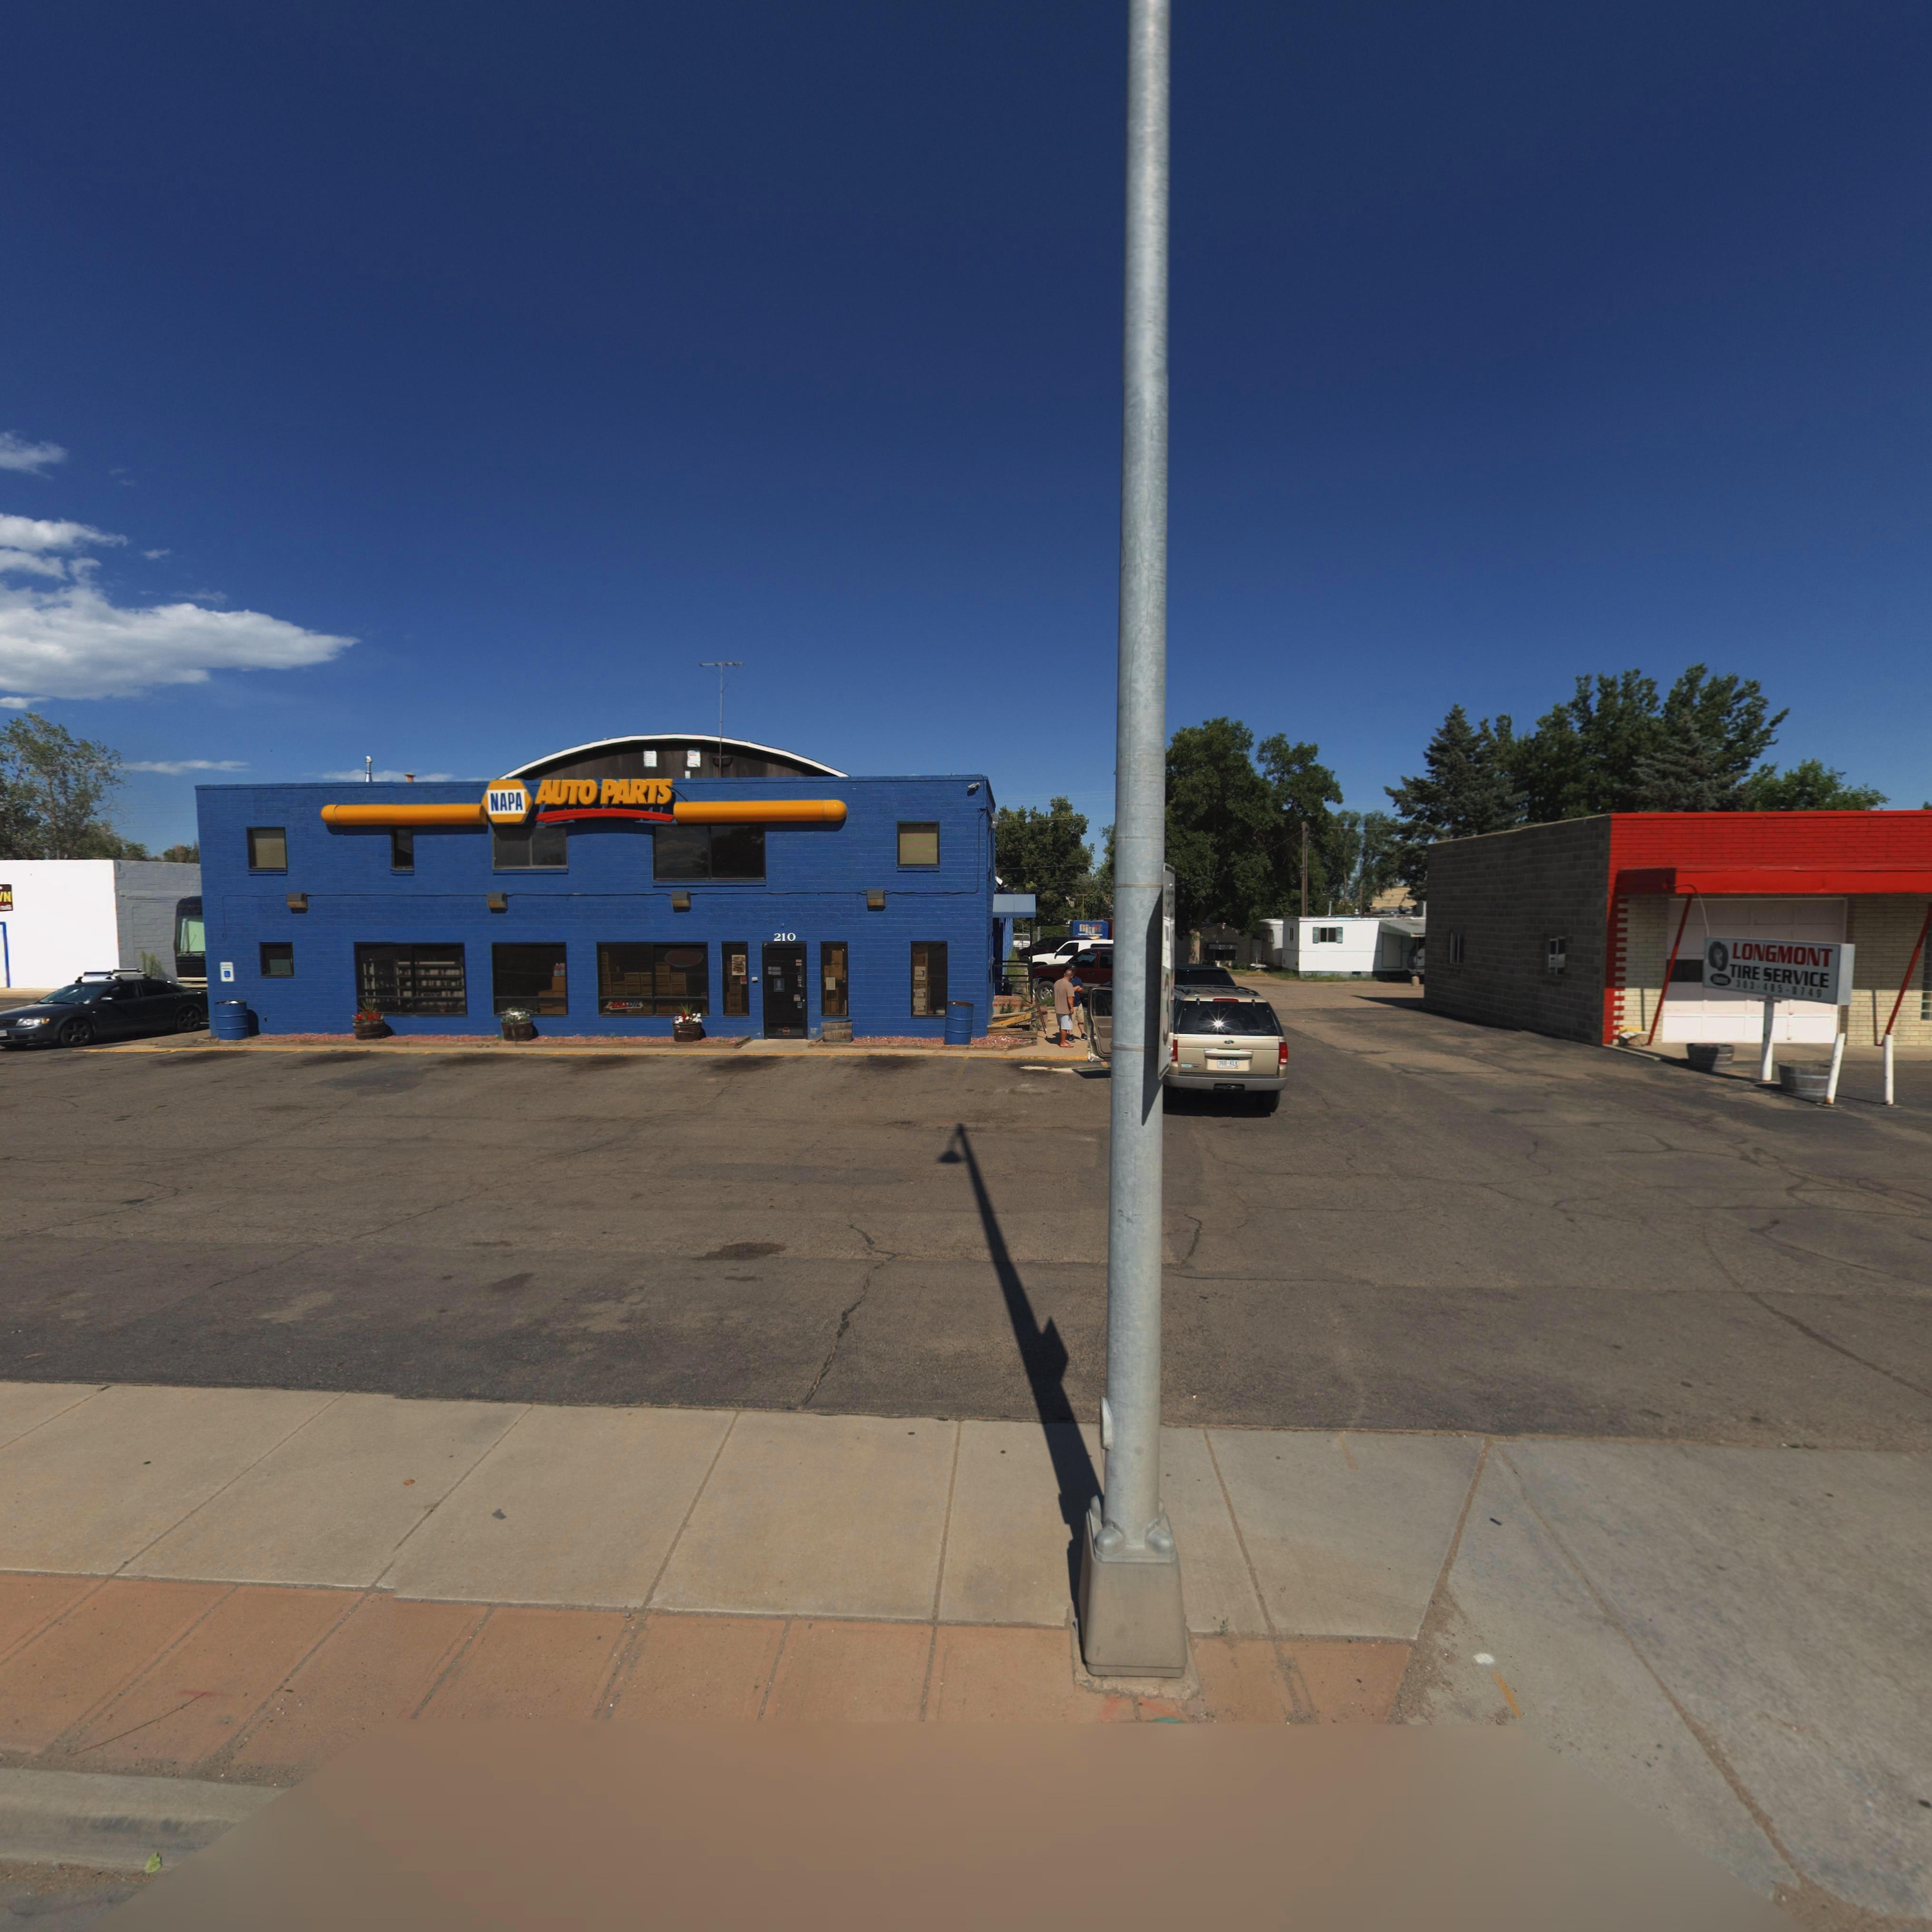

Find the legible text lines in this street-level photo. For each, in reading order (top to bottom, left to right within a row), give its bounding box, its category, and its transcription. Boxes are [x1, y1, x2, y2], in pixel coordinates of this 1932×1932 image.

[489, 791, 523, 811] BusinessName: NAPA
[533, 777, 674, 805] BusinessName: AUTO PARTS
[773, 932, 796, 942] StreetNumber: 210
[1732, 942, 1834, 968] BusinessName: LONGMONT
[1729, 964, 1829, 988] BusinessName: TIRE SERVICE